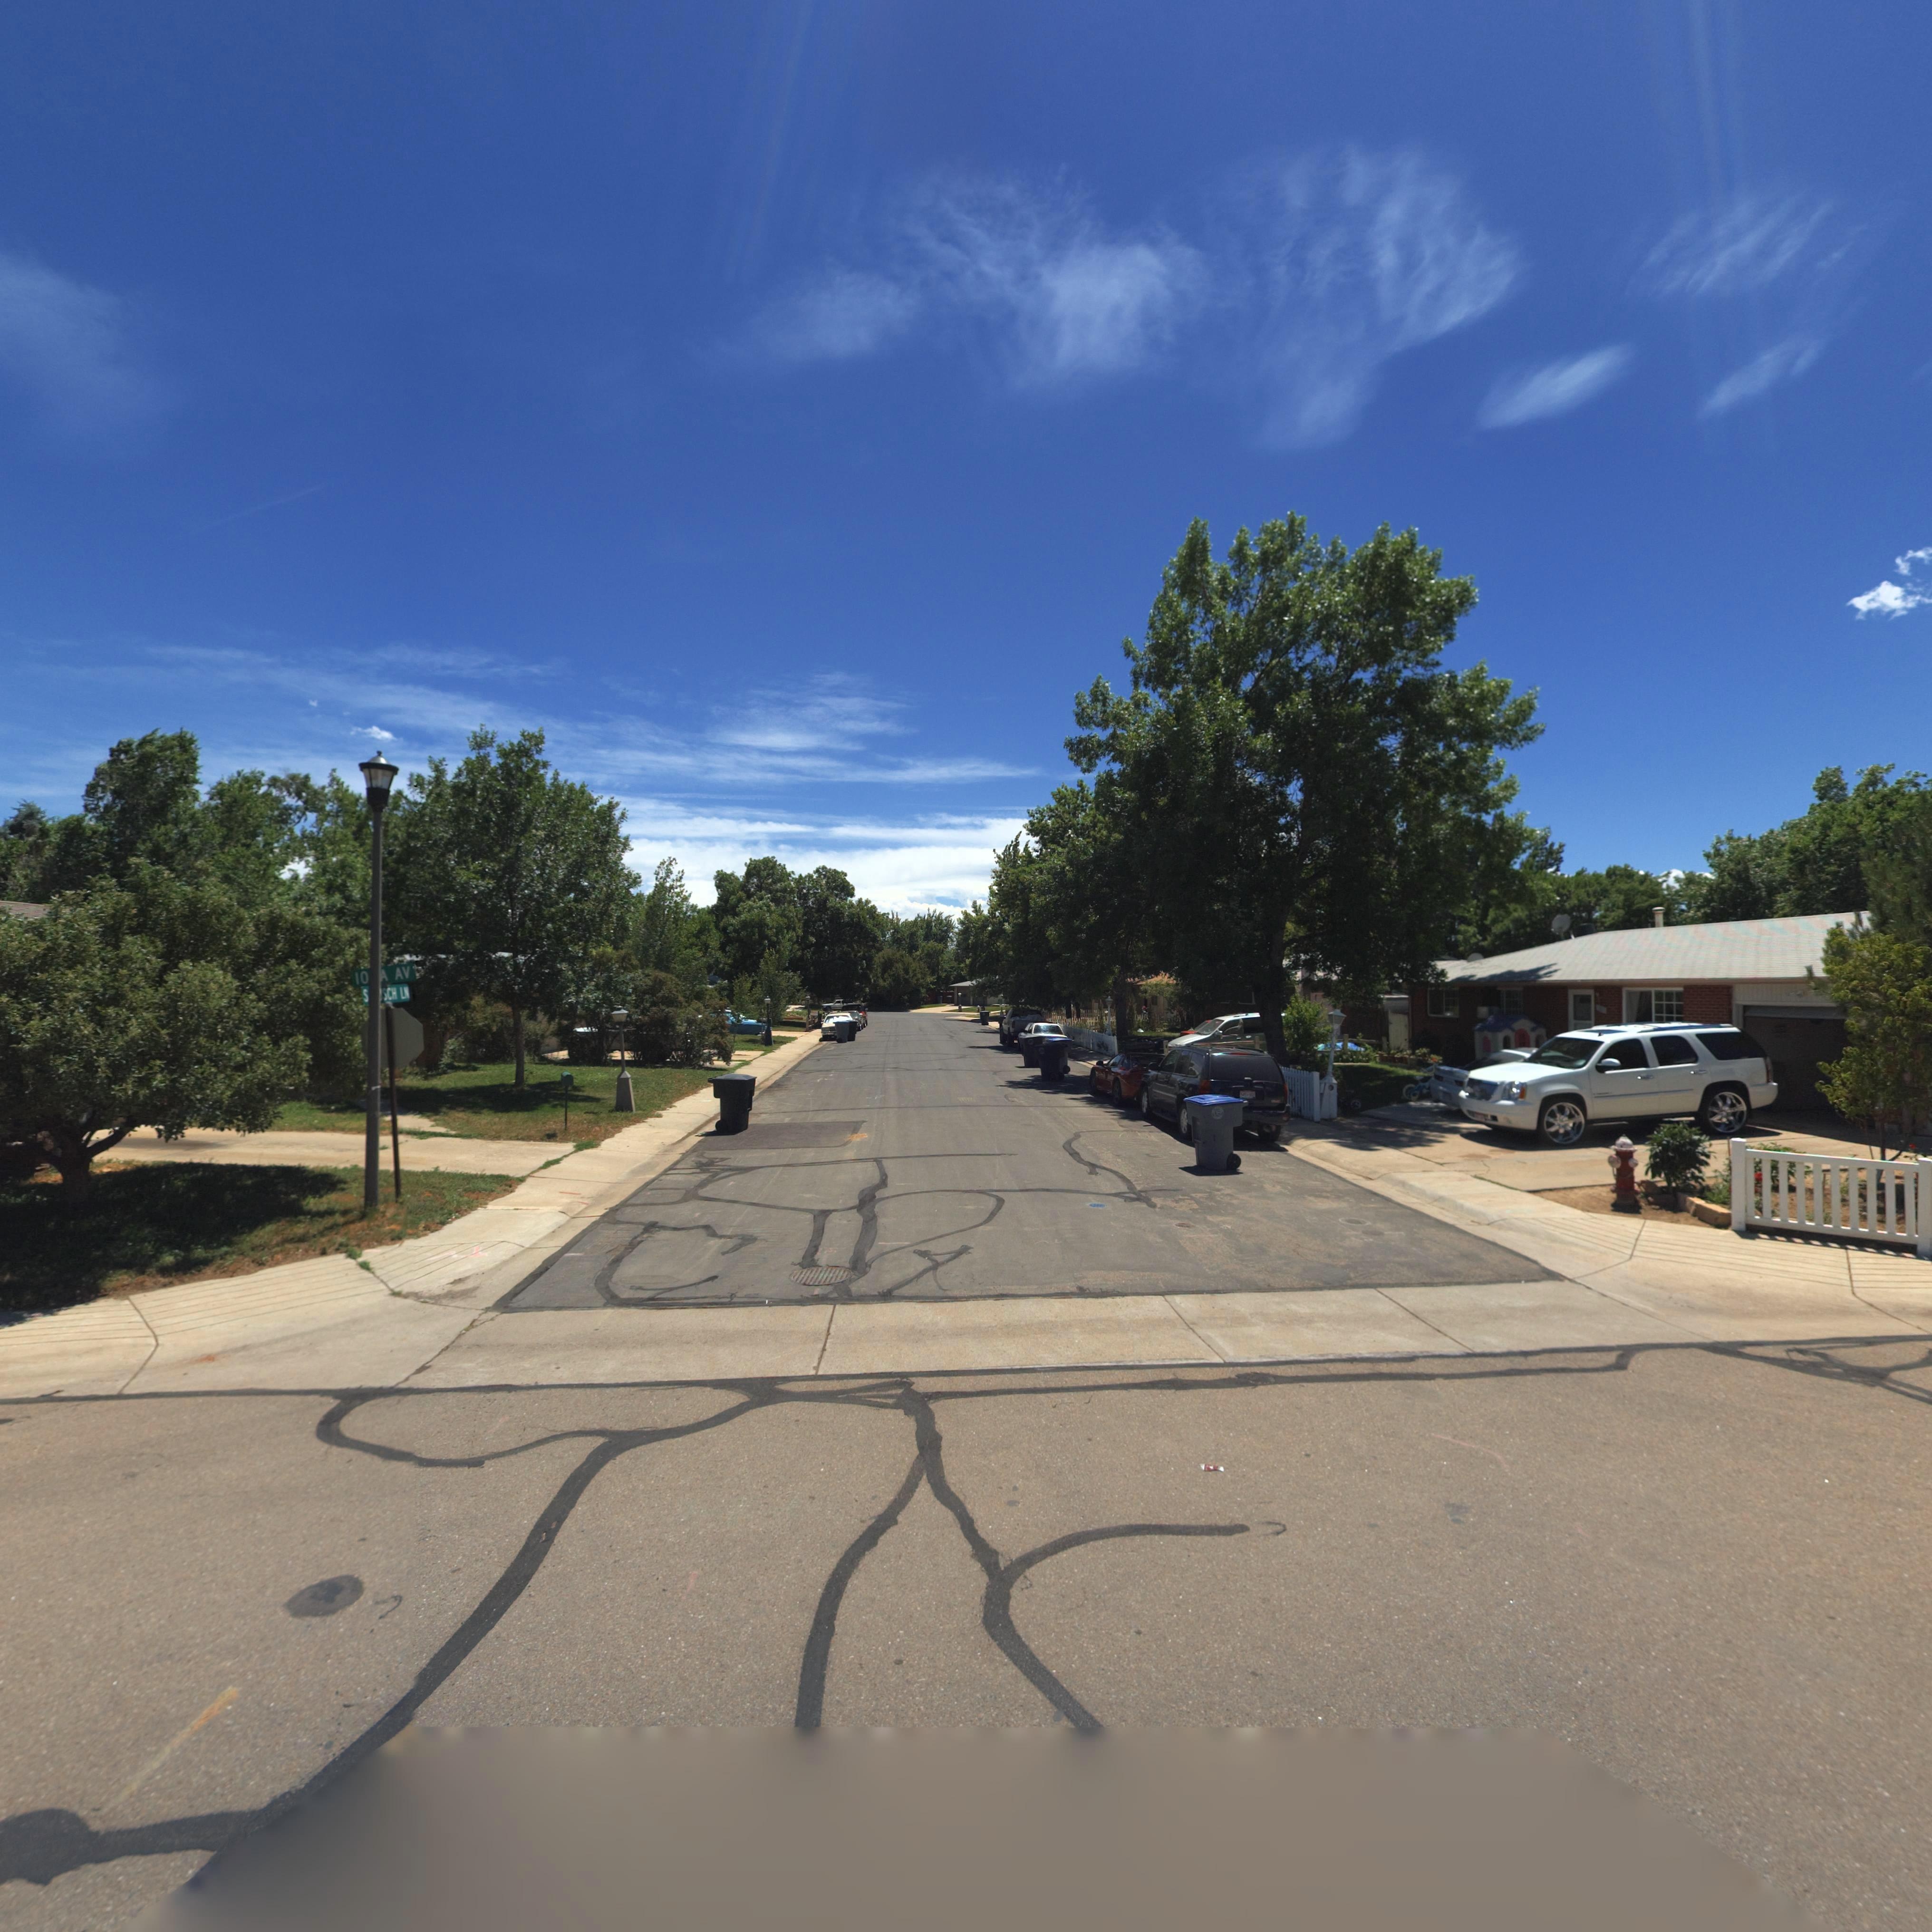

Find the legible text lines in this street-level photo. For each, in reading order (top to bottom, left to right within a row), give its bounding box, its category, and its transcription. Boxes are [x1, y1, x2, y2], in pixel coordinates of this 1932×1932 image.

[355, 966, 409, 985] StreetName: IO*A AV
[362, 985, 410, 1003] StreetName: S **SCH LN